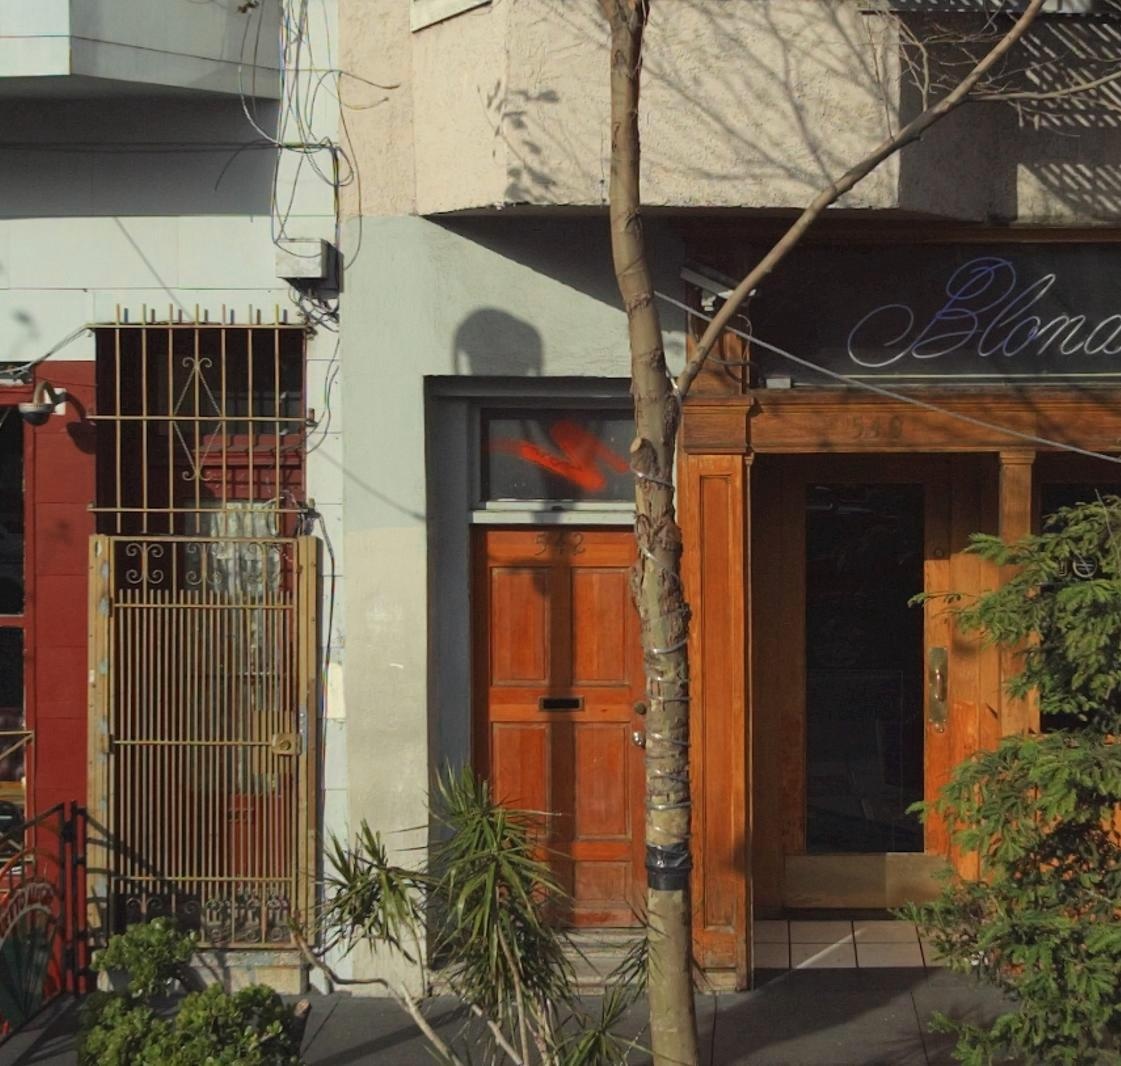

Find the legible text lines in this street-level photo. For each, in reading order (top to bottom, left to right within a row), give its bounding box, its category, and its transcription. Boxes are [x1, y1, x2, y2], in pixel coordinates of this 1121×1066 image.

[967, 266, 1093, 361] None: lon
[850, 415, 900, 439] StreetNumber: 540
[535, 531, 587, 557] StreetNumber: 542